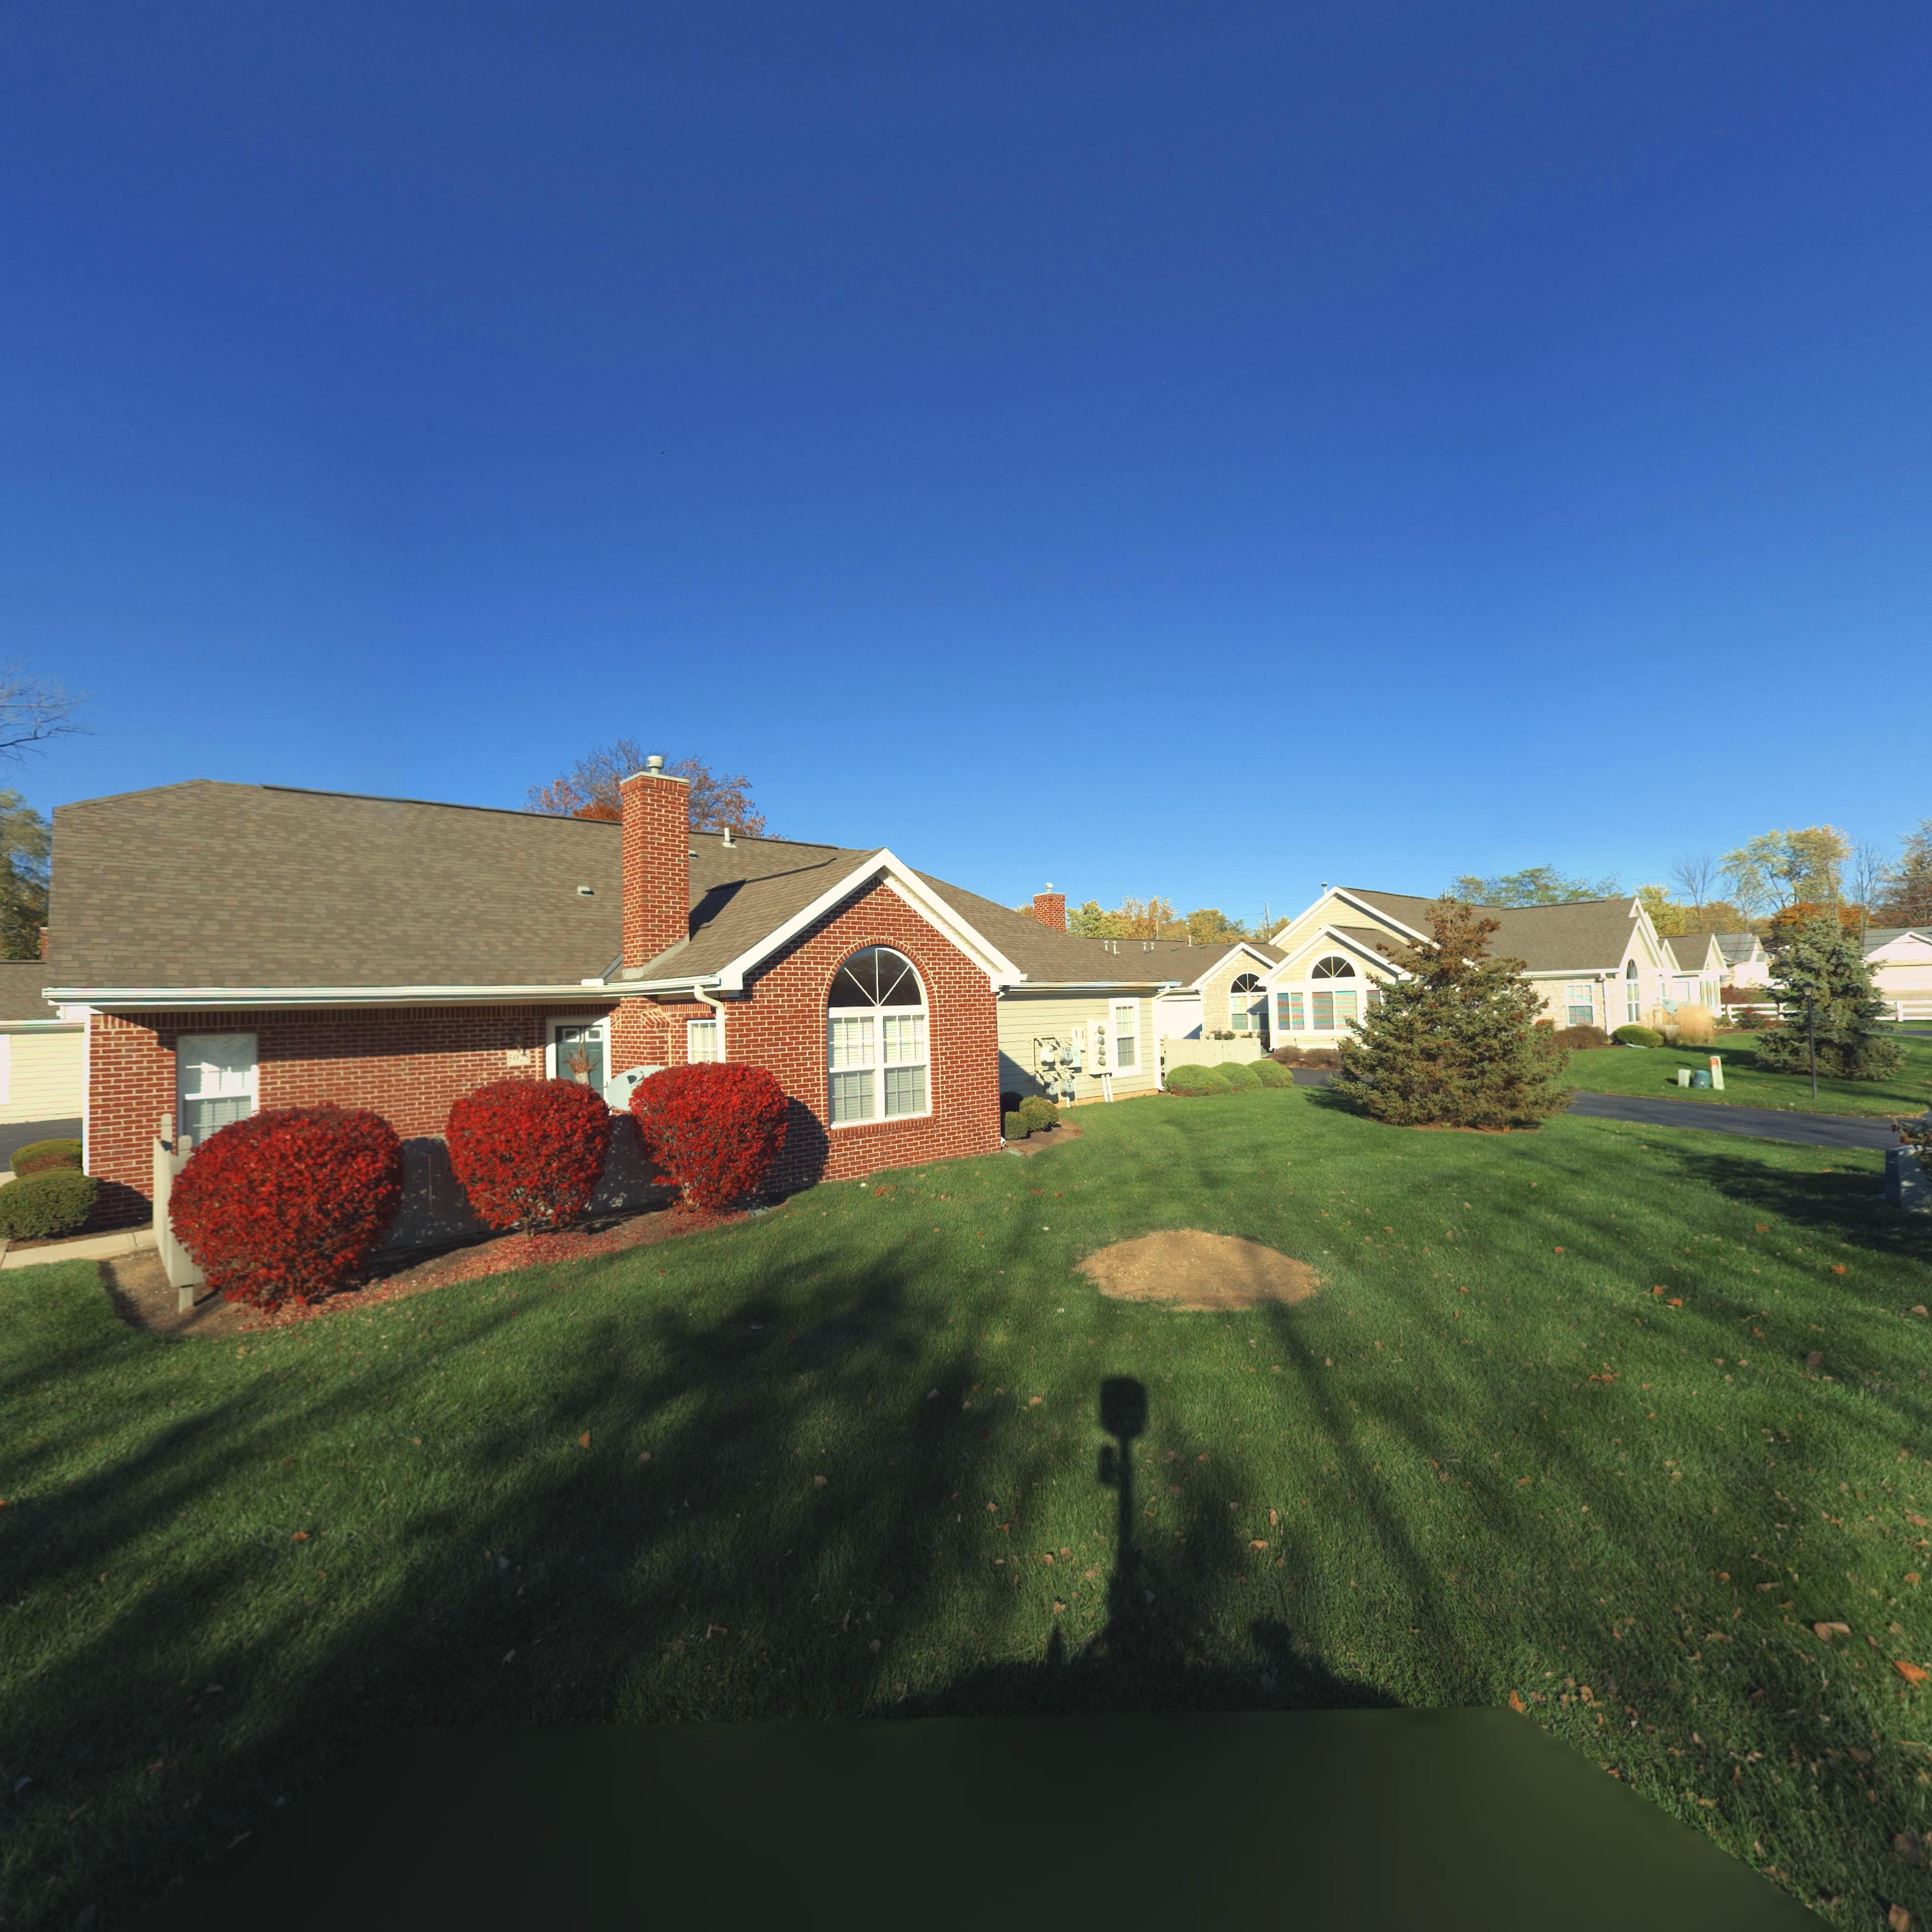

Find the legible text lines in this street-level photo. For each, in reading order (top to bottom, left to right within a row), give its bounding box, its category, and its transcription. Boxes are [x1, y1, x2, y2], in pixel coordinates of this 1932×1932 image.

[507, 1053, 531, 1064] StreetNumber: 5025